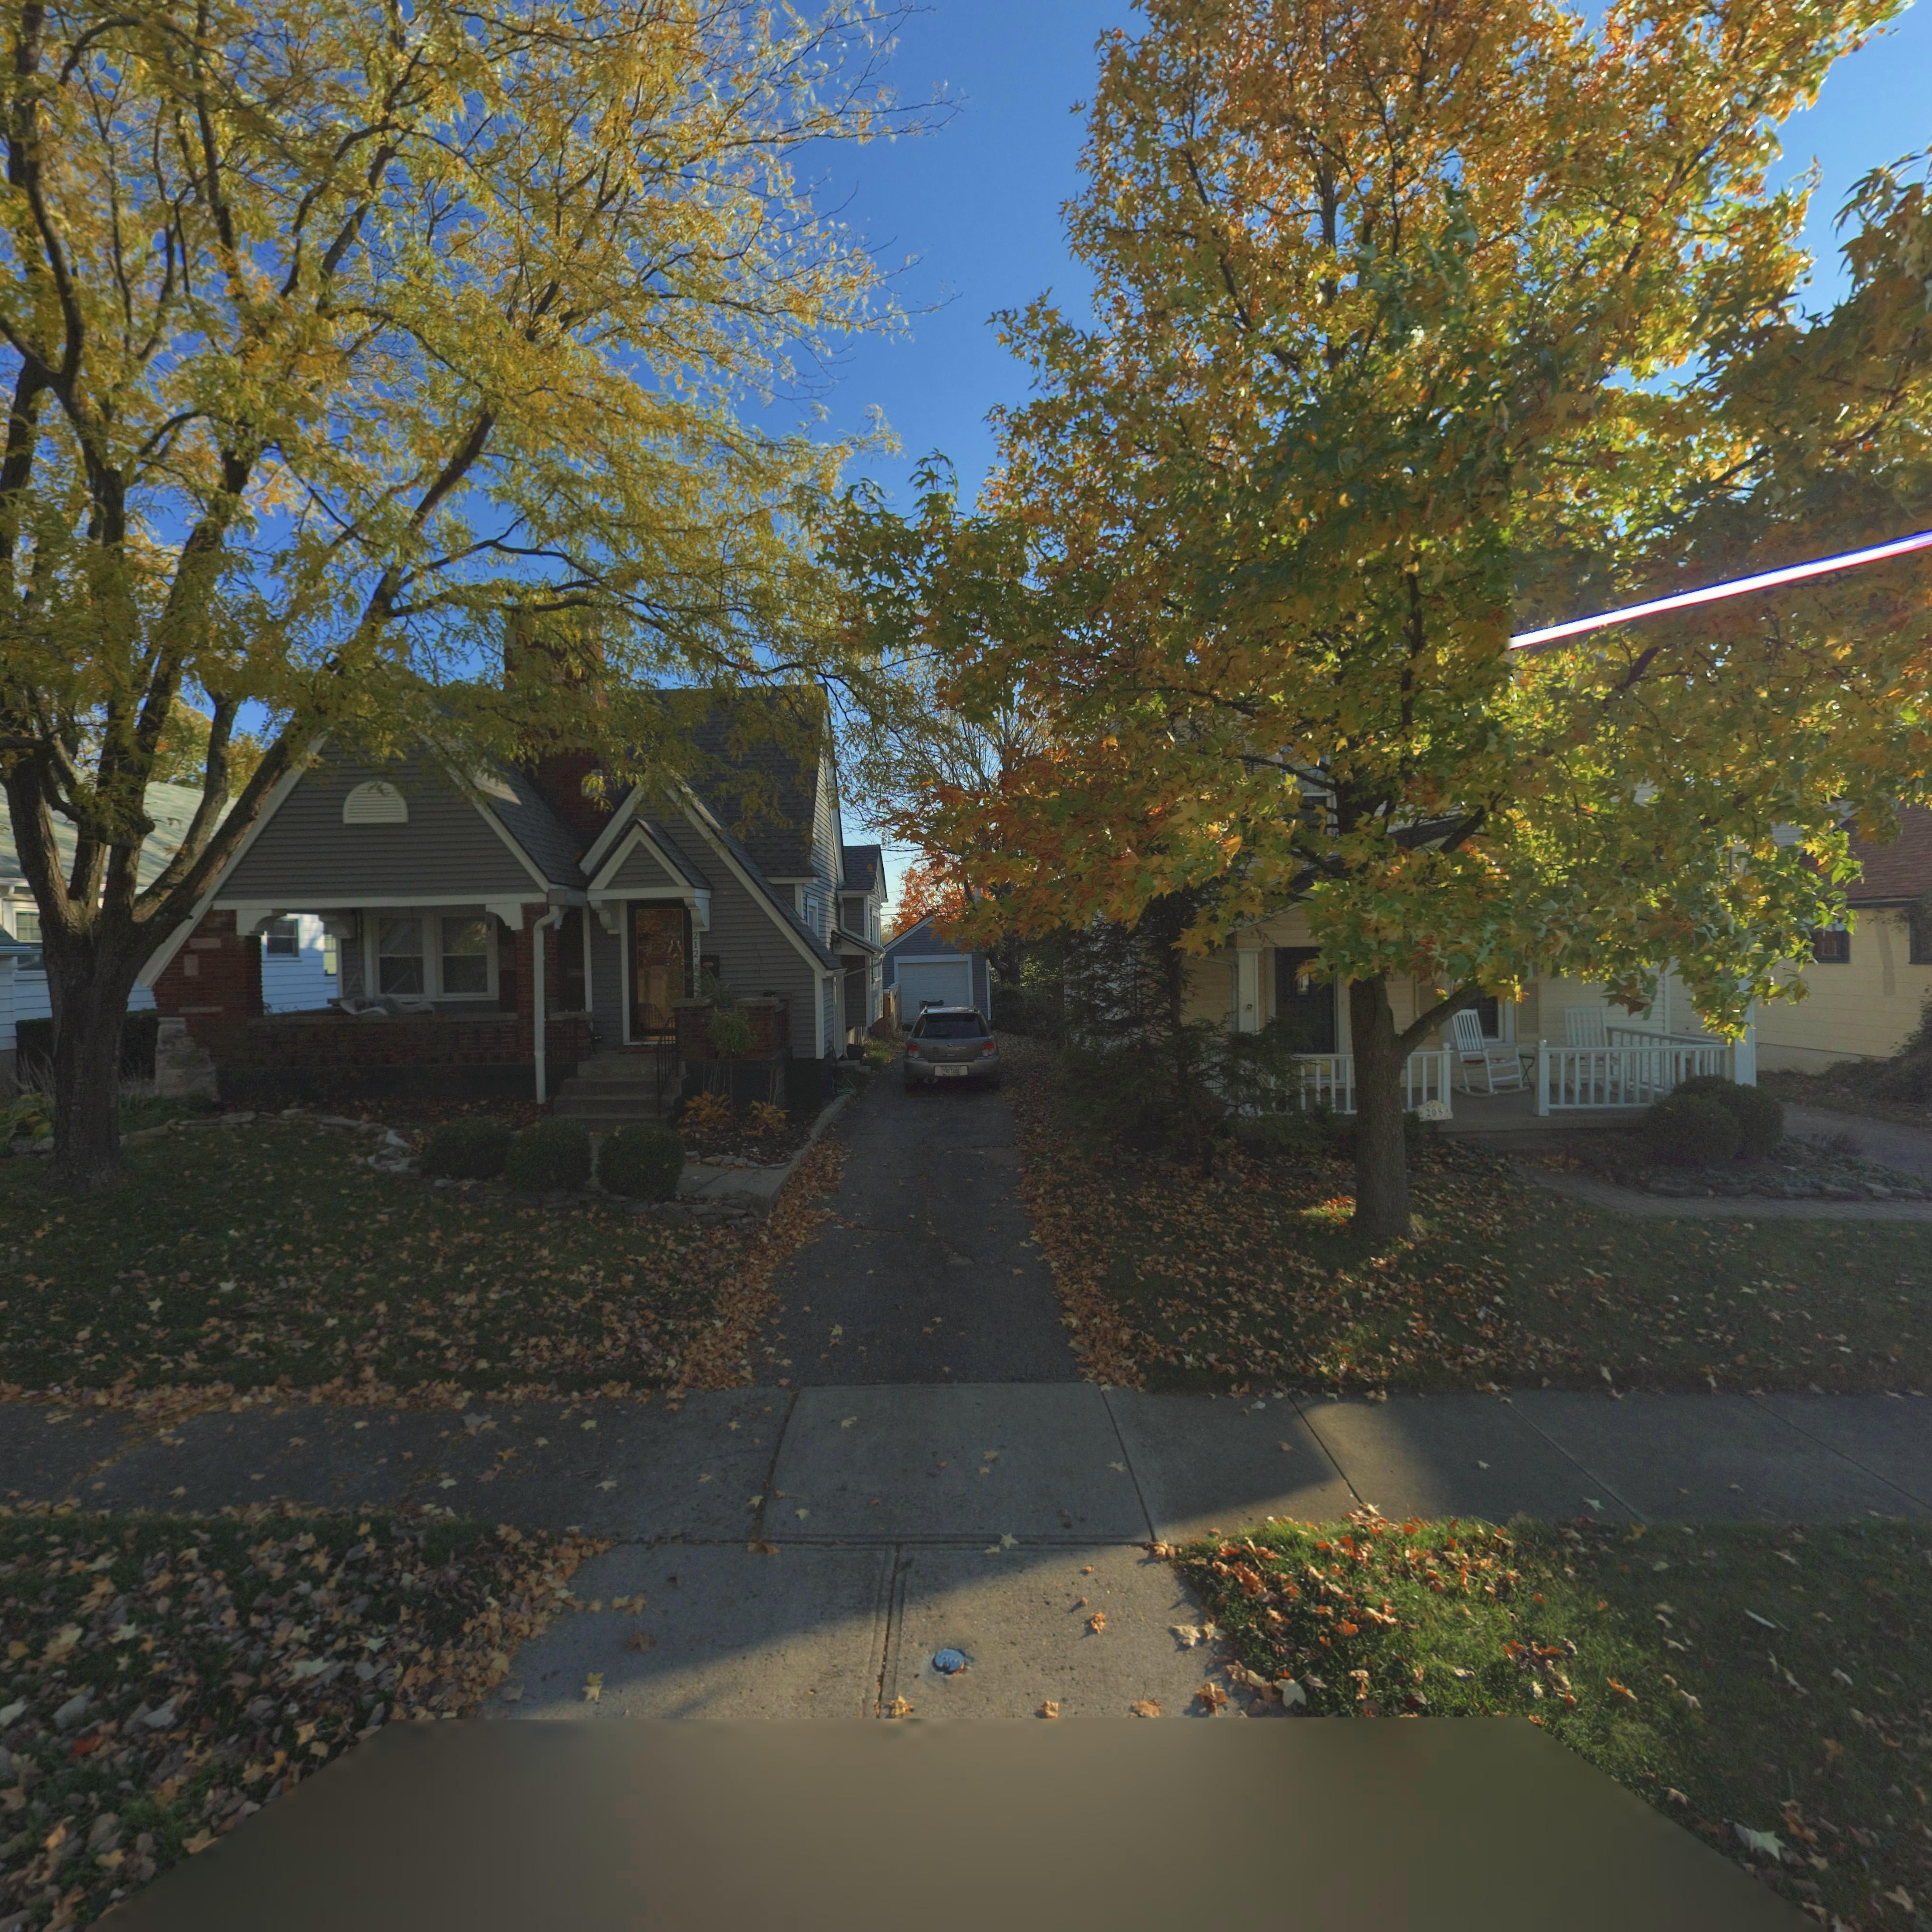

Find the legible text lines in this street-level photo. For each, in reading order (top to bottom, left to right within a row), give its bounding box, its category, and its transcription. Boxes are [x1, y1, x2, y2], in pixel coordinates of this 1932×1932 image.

[692, 930, 700, 958] StreetNumber: 212